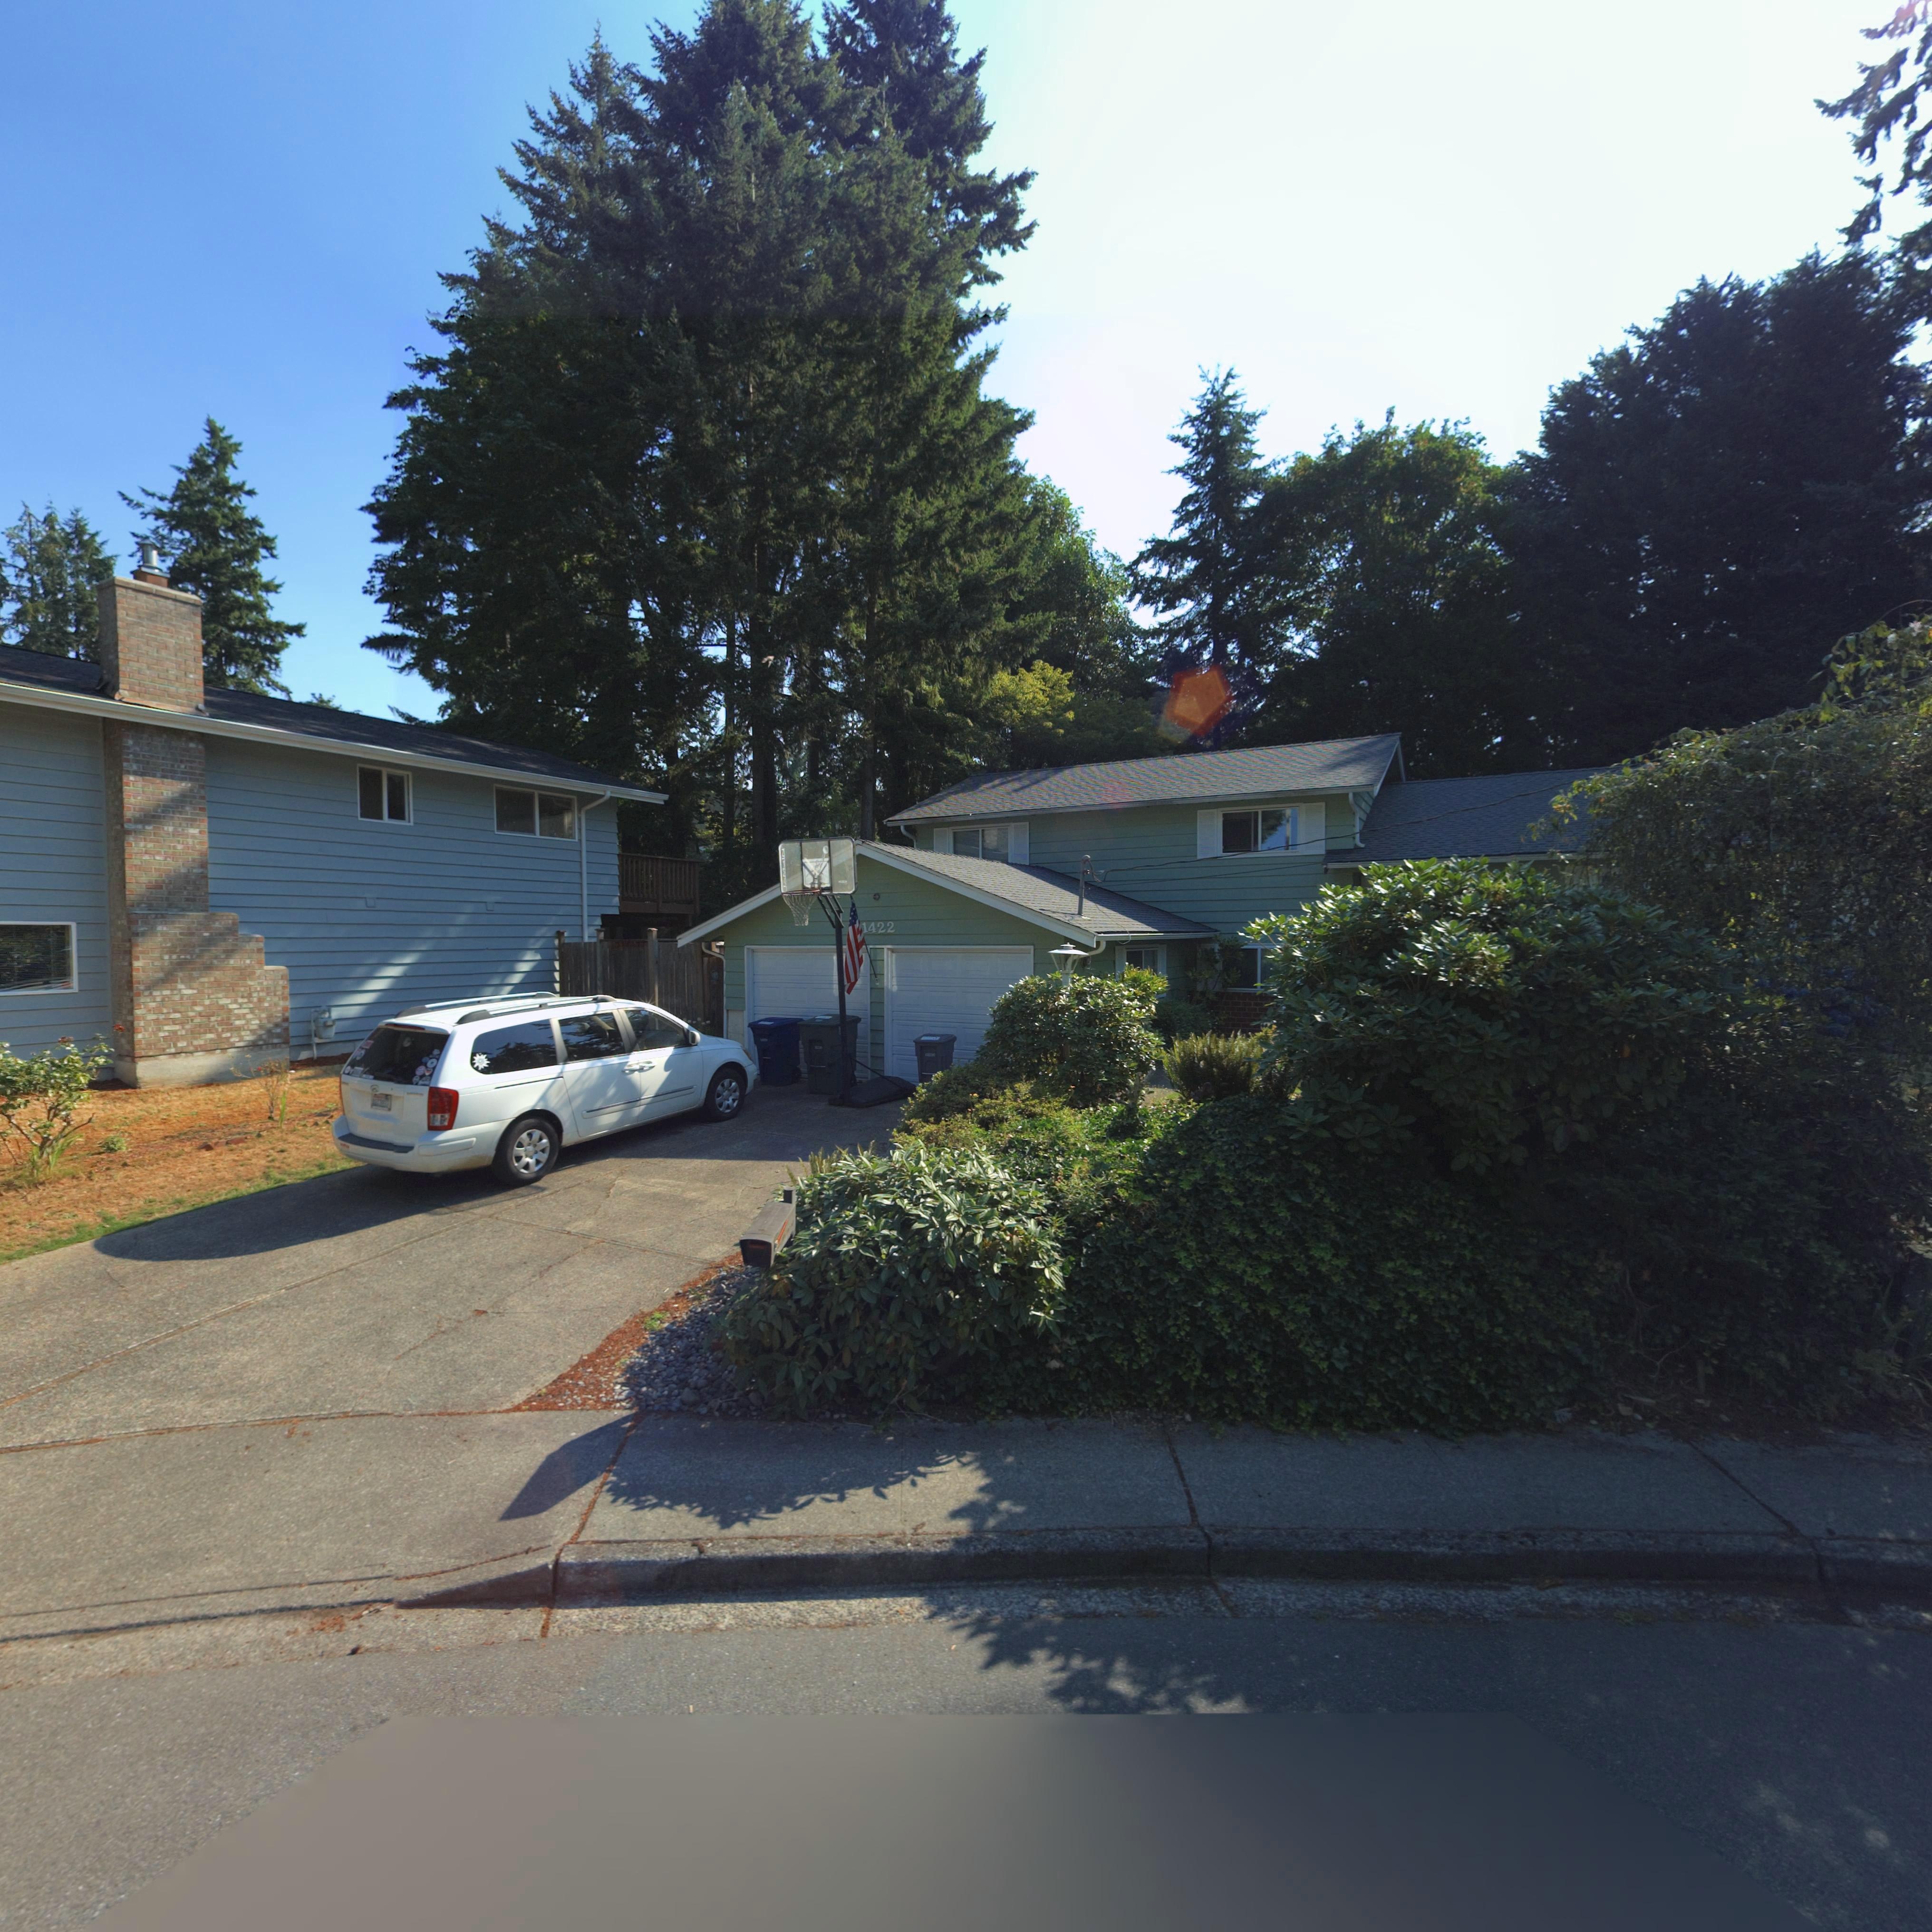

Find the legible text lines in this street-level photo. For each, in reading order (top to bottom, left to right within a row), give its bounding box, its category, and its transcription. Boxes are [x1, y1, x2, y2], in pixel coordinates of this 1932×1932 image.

[860, 920, 896, 934] StreetNumber: 1422